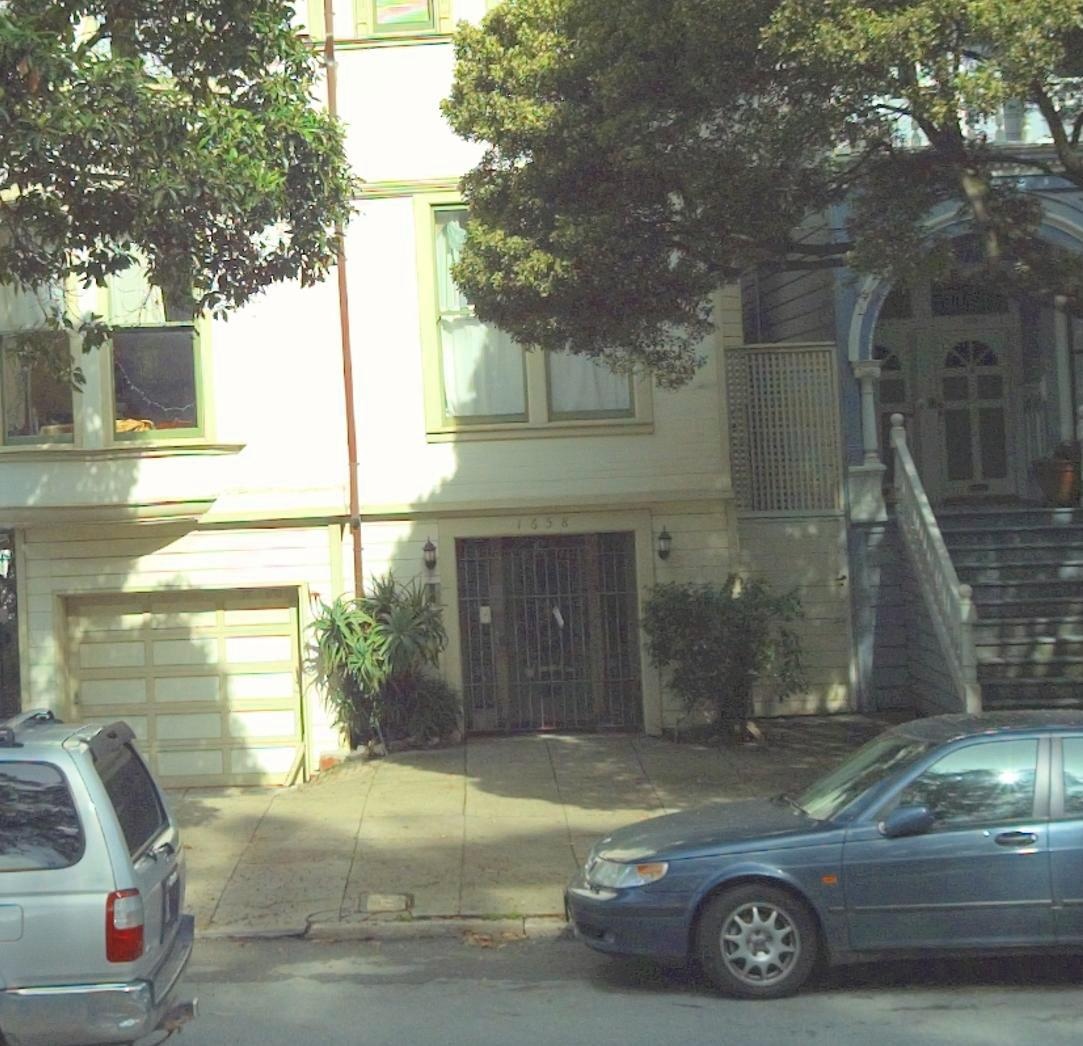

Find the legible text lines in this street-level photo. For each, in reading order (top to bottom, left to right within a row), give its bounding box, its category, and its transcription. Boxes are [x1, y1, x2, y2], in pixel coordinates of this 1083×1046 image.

[515, 515, 570, 532] StreetNumber: 1658